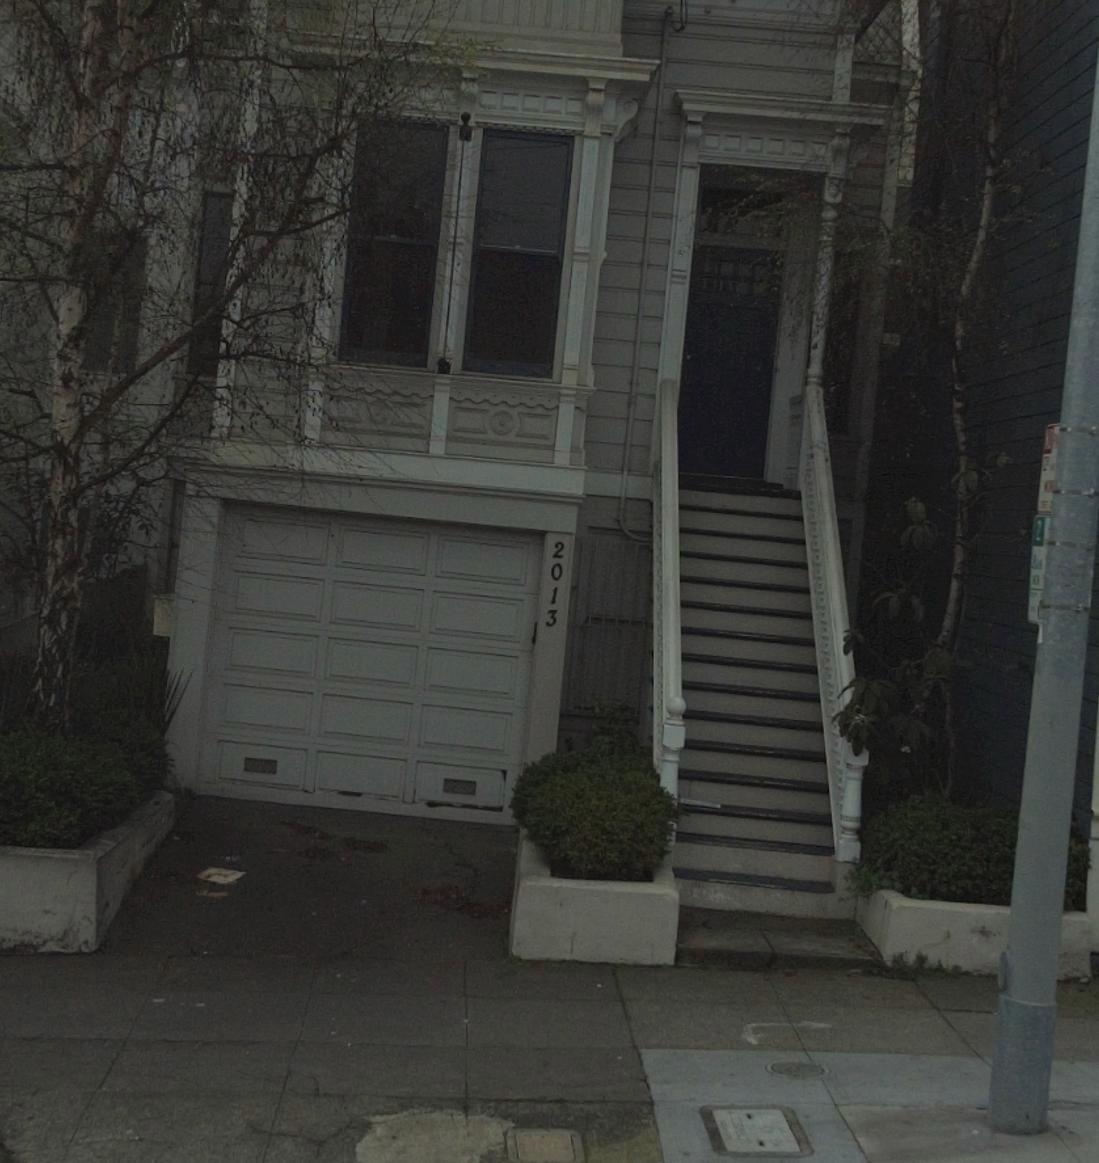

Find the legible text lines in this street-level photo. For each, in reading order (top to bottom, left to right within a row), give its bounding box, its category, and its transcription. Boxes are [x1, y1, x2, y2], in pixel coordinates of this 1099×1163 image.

[1033, 518, 1043, 542] None: 2
[544, 540, 567, 629] StreetNumber: 2013